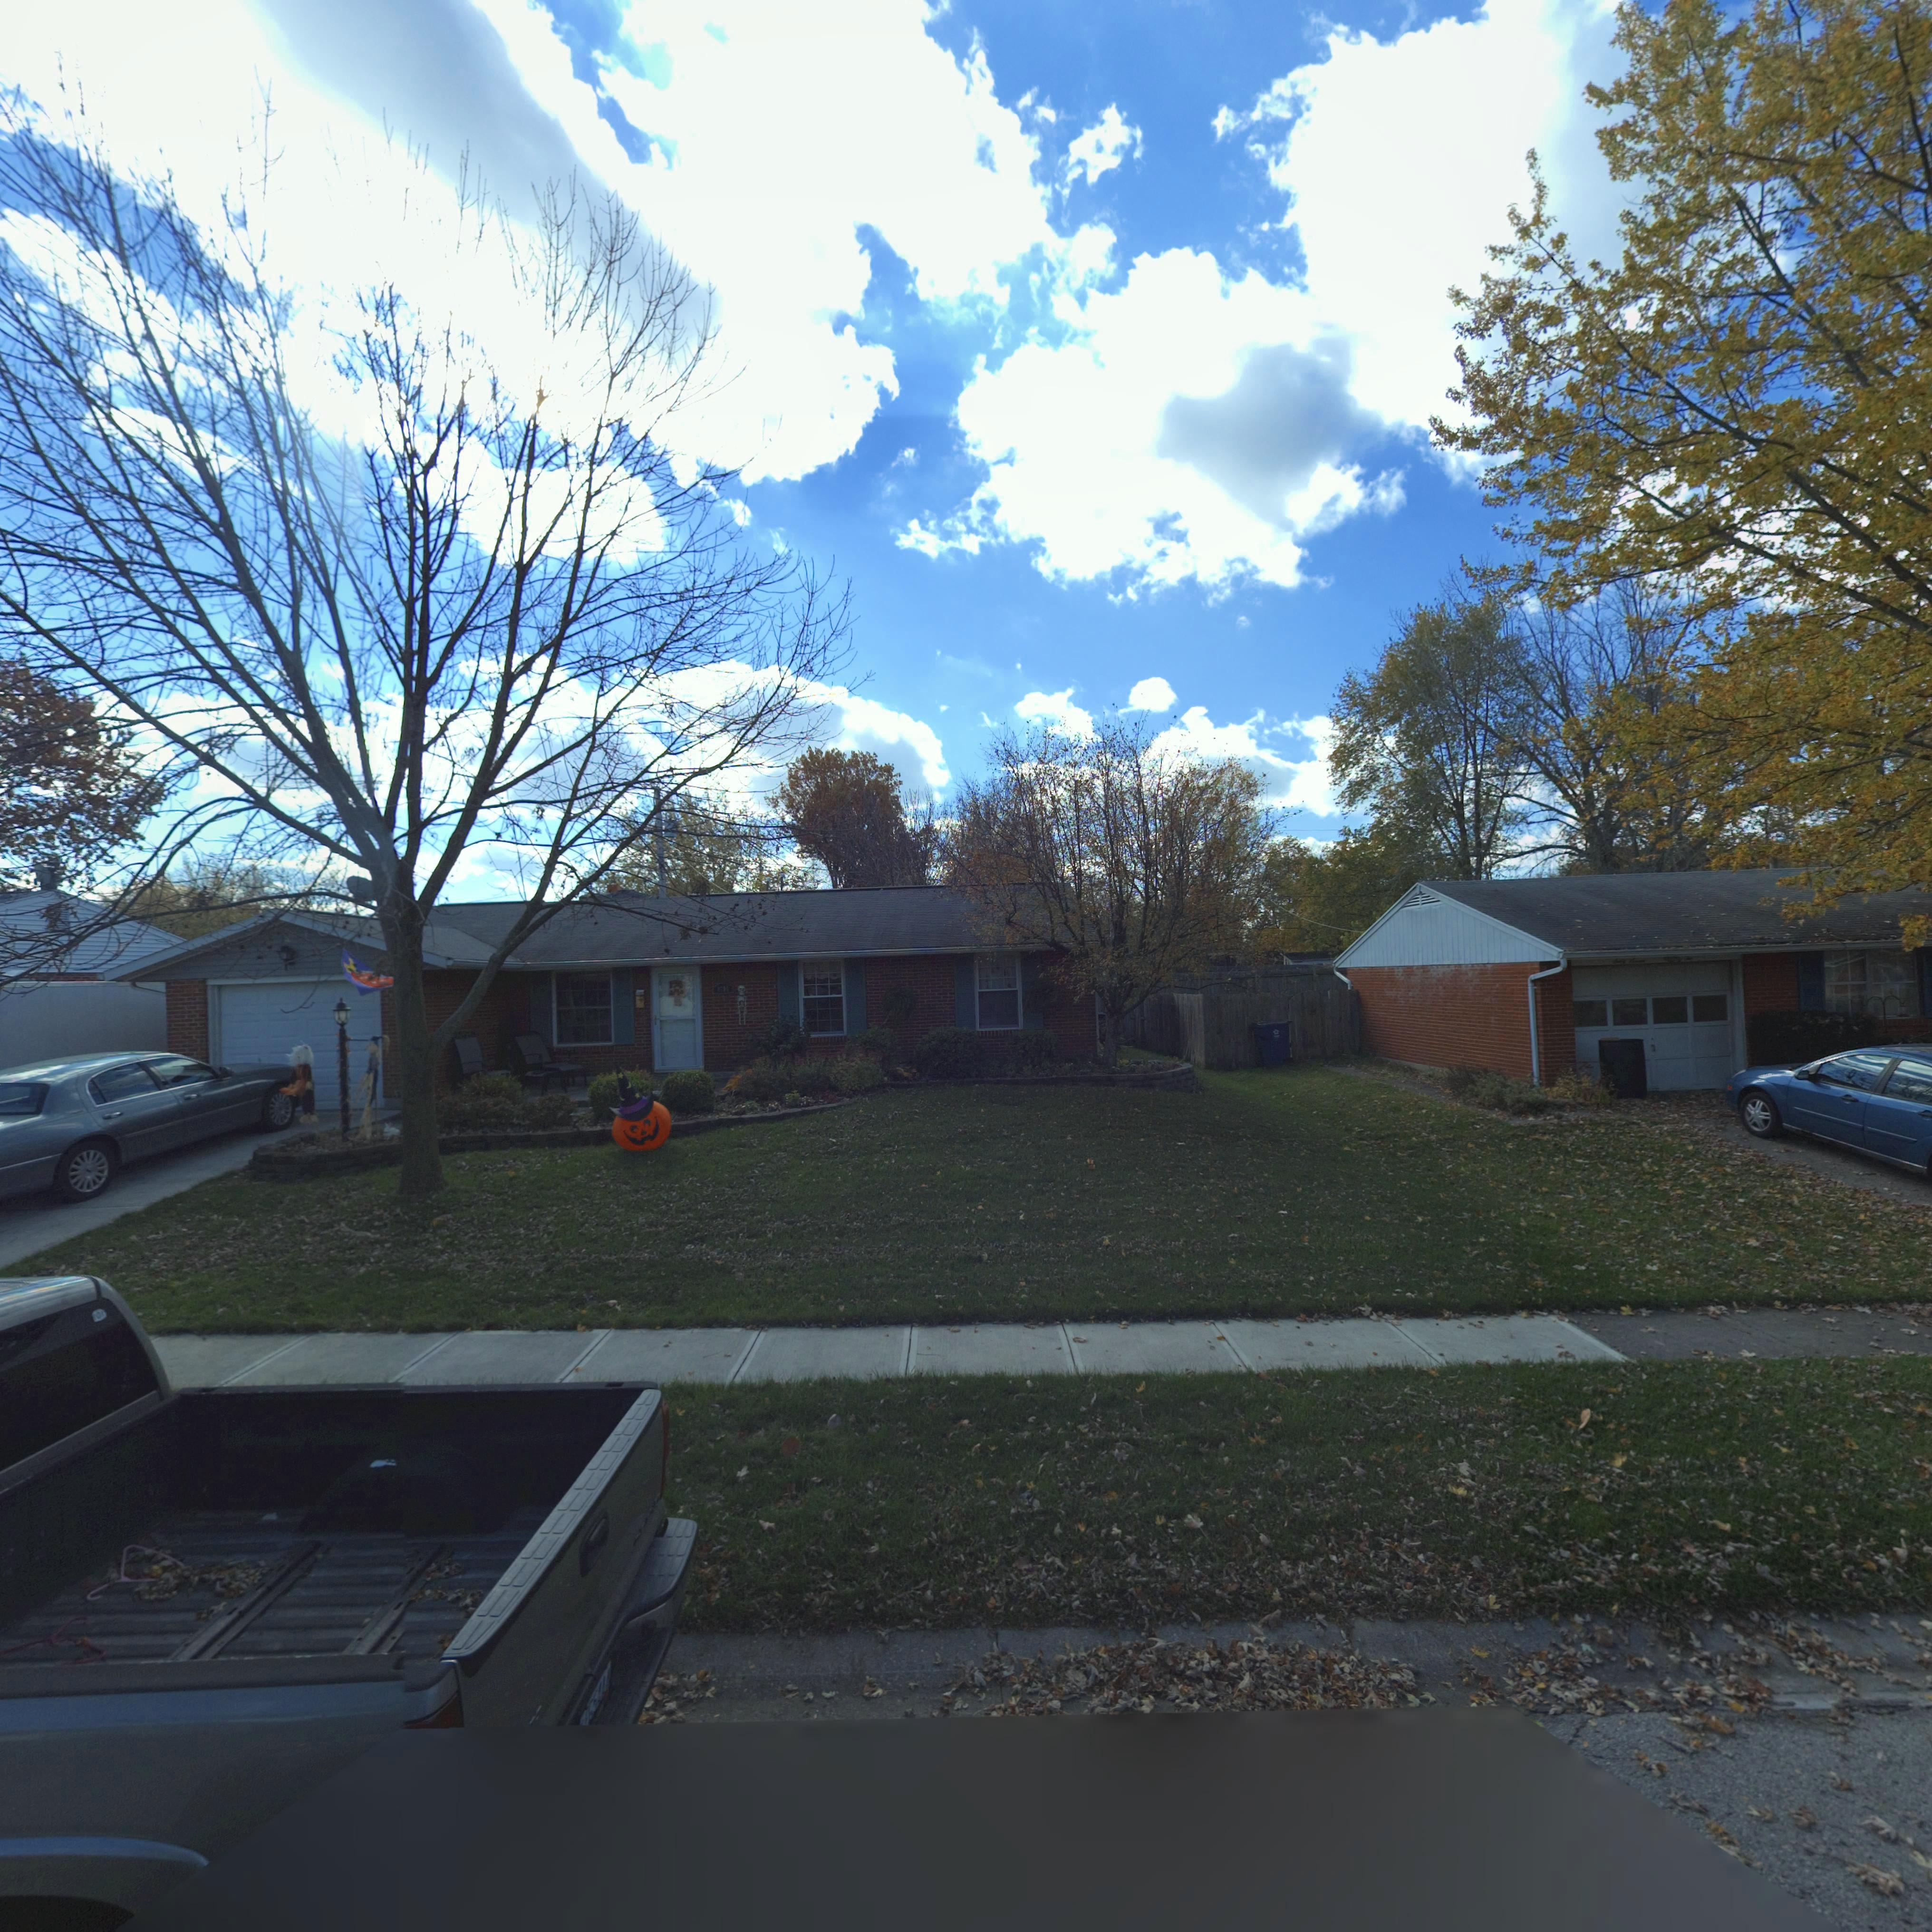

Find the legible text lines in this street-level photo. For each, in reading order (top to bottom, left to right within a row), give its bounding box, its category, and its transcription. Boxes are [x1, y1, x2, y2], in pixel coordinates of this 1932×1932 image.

[1612, 957, 1627, 966] StreetNumber: Sixty
[717, 985, 729, 993] StreetNumber: *79*